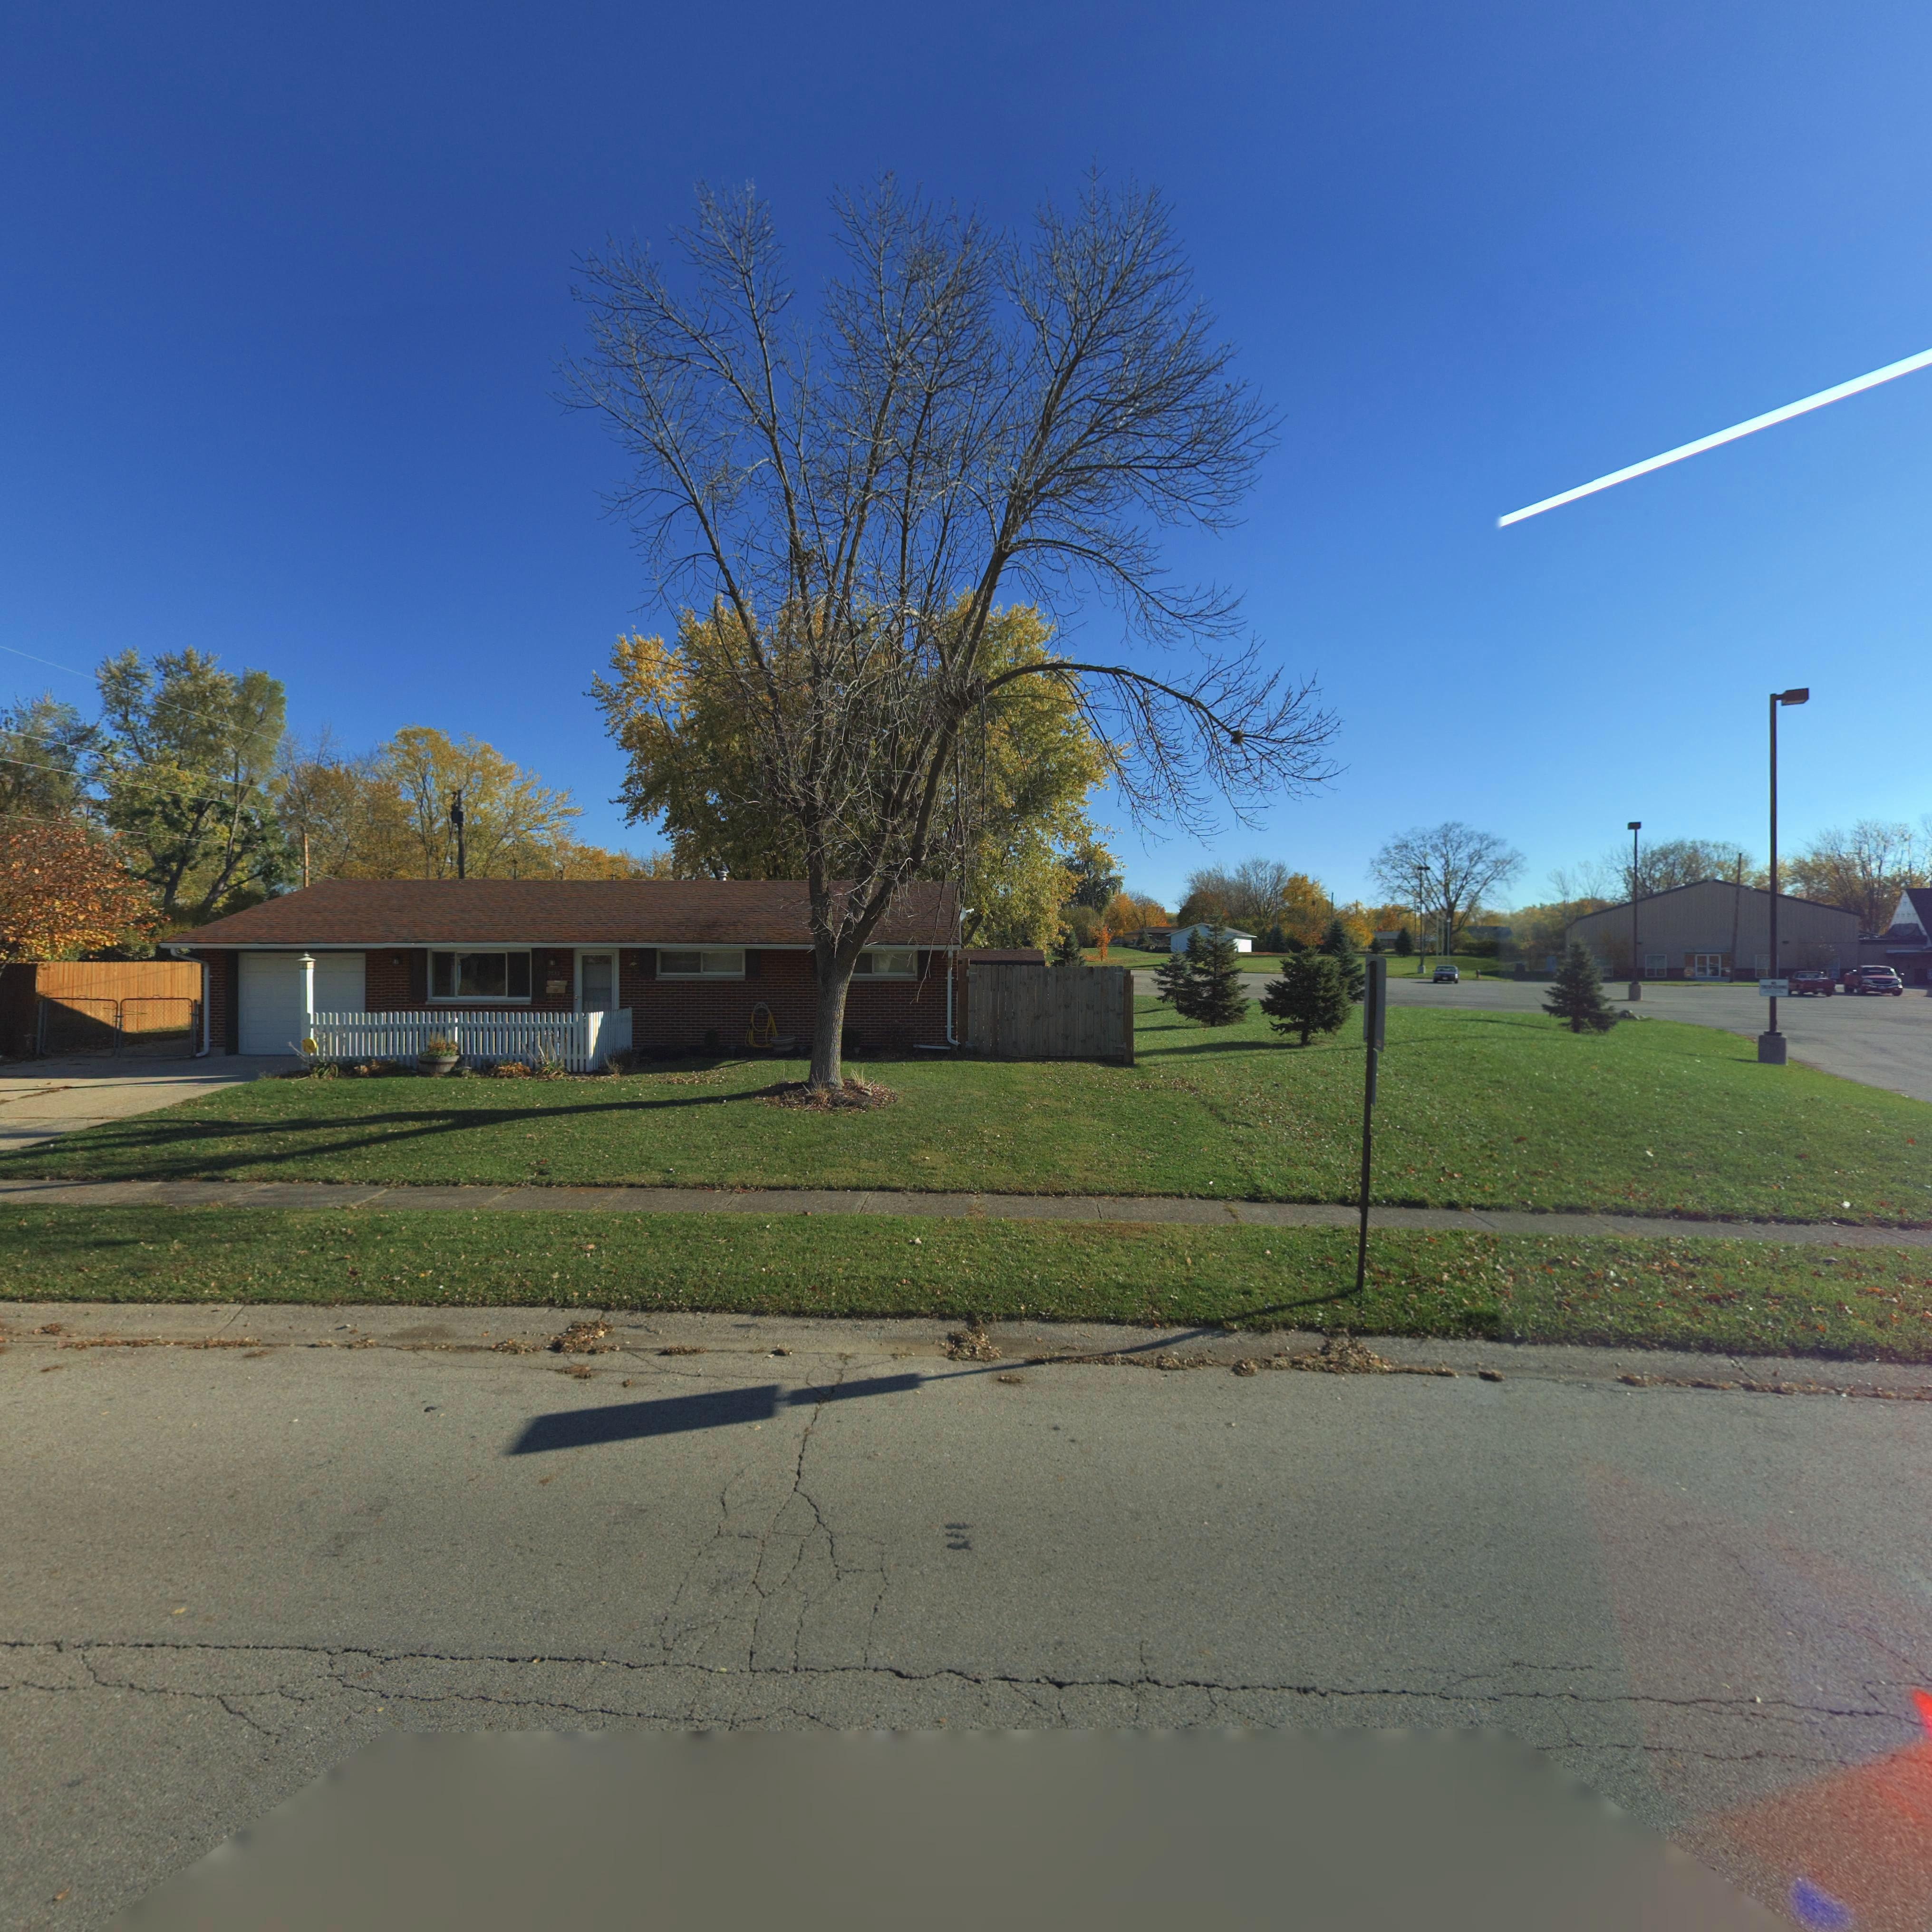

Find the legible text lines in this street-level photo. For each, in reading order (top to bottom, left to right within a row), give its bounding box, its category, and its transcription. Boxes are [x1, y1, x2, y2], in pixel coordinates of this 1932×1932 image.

[547, 970, 561, 976] StreetNumber: 7*1*